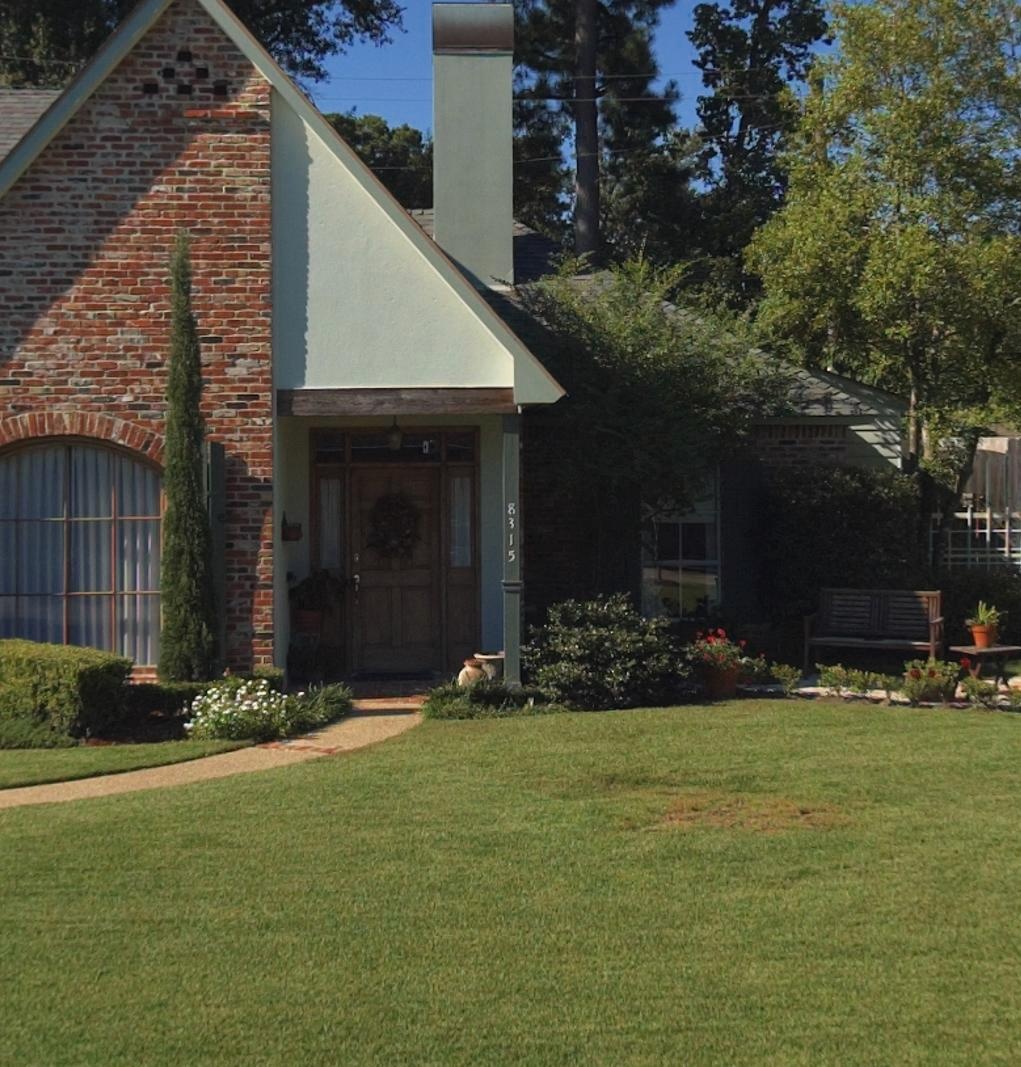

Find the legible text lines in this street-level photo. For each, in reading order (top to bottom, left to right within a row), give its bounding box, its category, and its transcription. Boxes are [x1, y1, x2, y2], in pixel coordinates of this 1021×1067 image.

[505, 500, 518, 565] StreetNumber: 8315